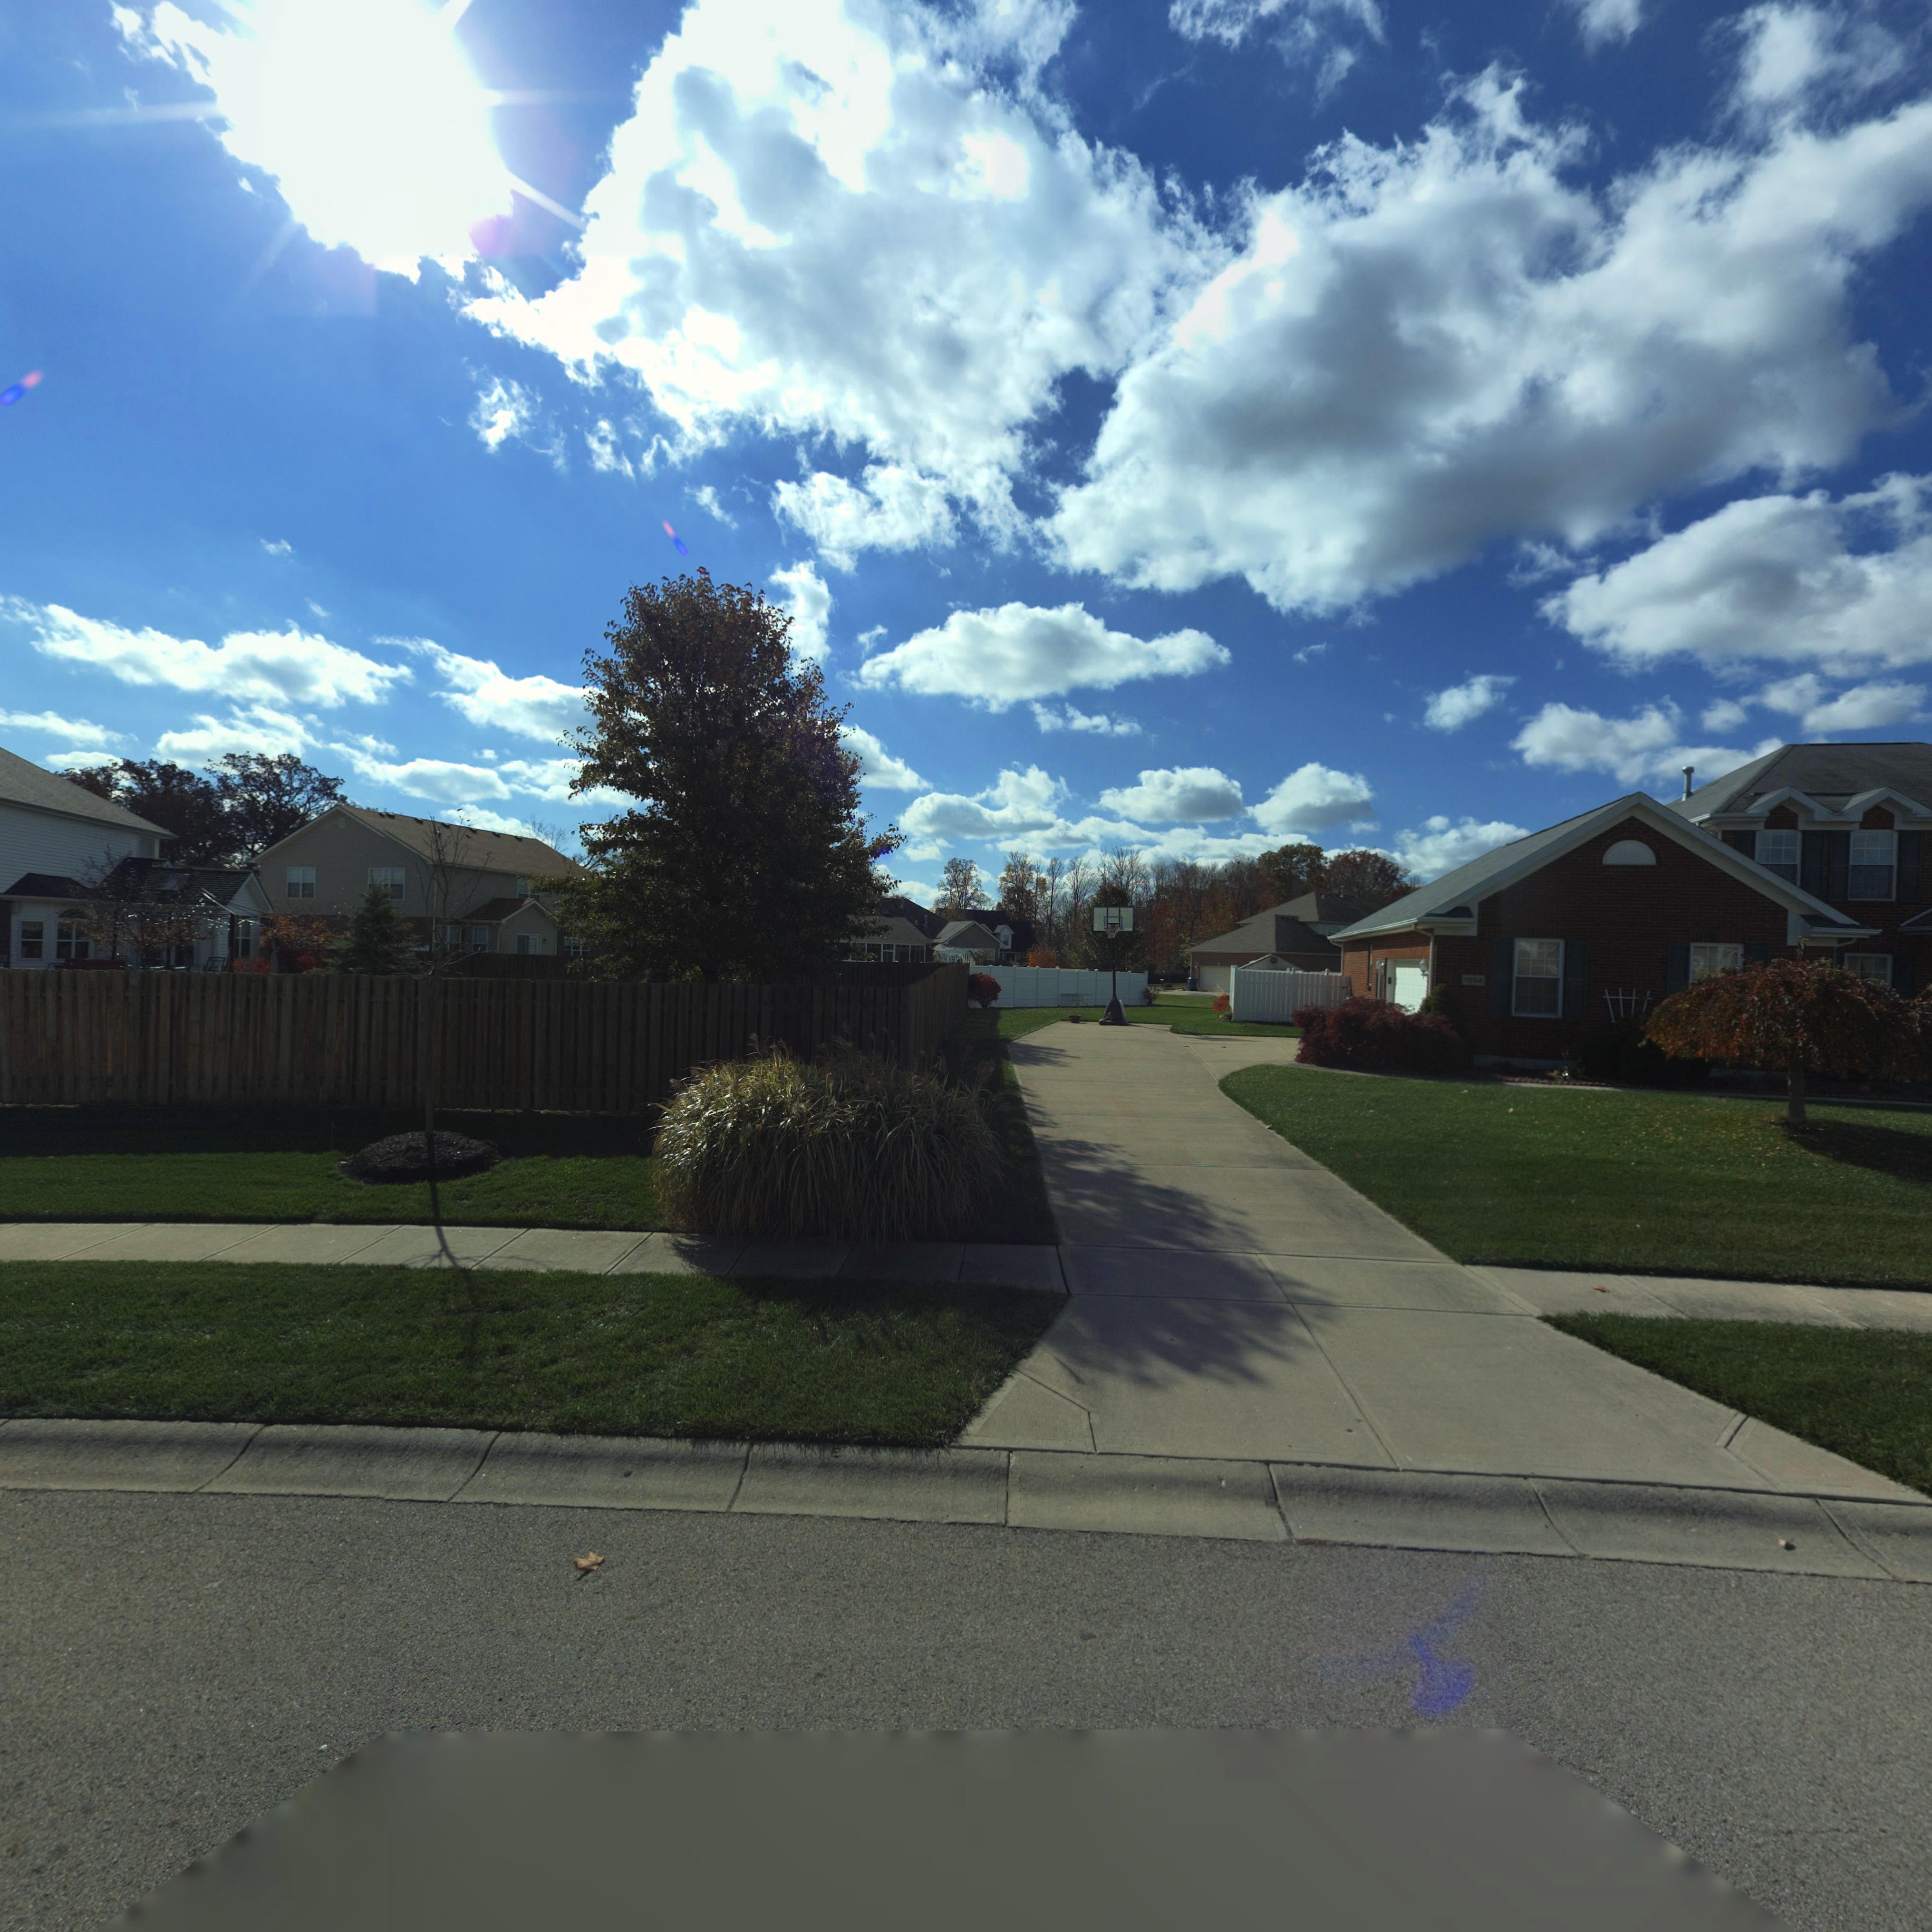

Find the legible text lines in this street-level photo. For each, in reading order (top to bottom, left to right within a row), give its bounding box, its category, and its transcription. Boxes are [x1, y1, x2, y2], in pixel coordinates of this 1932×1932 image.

[1463, 976, 1483, 984] StreetNumber: 725*